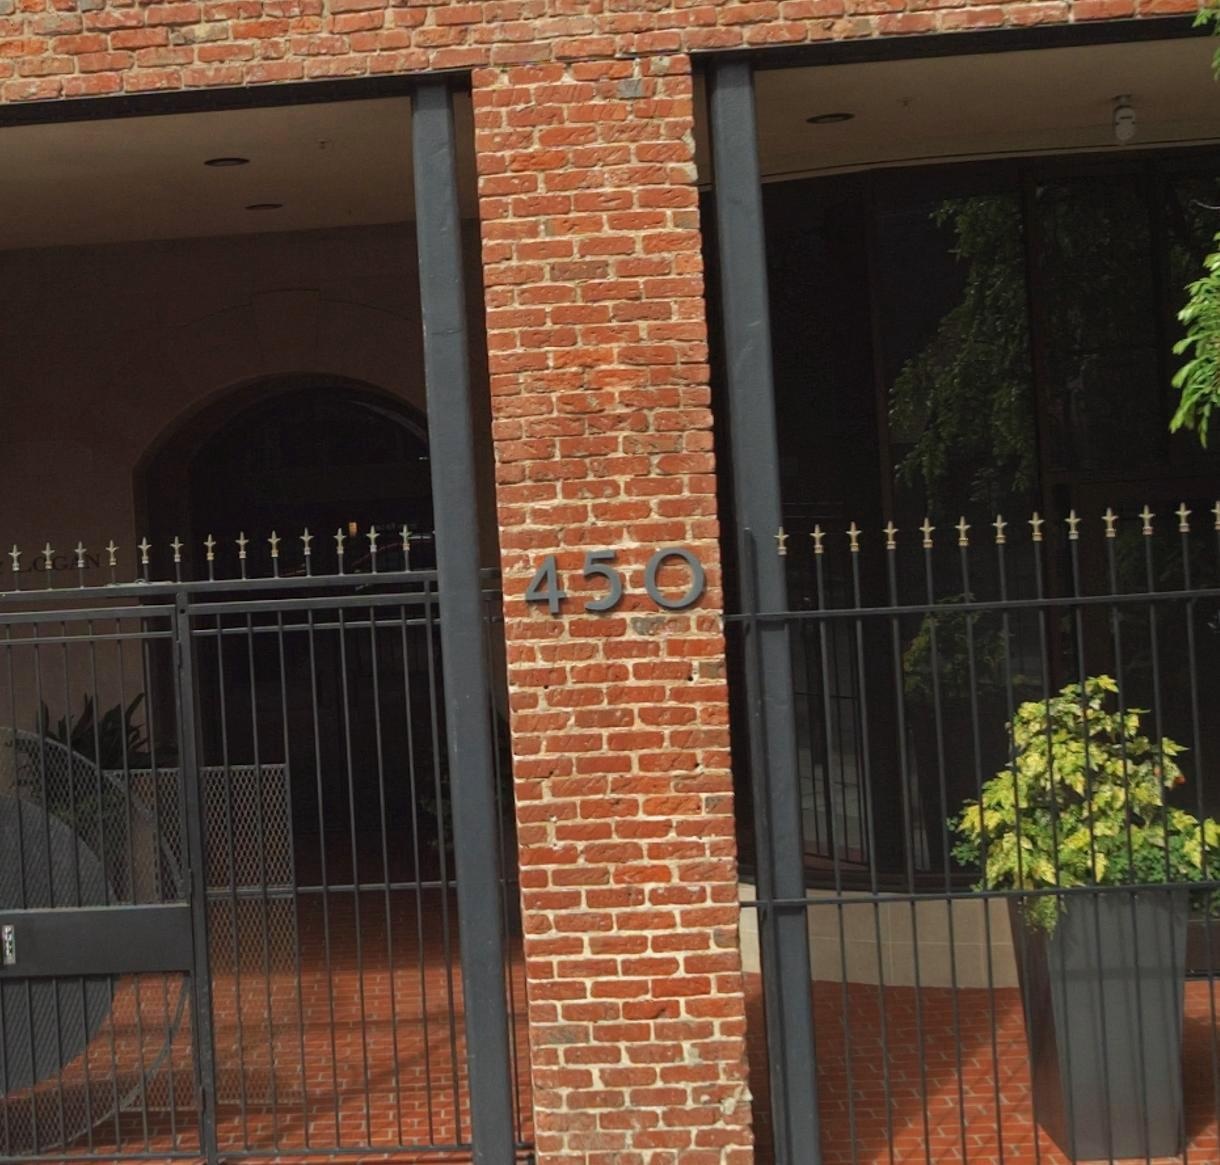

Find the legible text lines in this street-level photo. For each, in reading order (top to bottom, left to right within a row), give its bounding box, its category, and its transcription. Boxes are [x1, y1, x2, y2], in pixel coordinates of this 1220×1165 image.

[510, 543, 717, 623] StreetNumber: 450
[4, 924, 14, 958] None: PULL